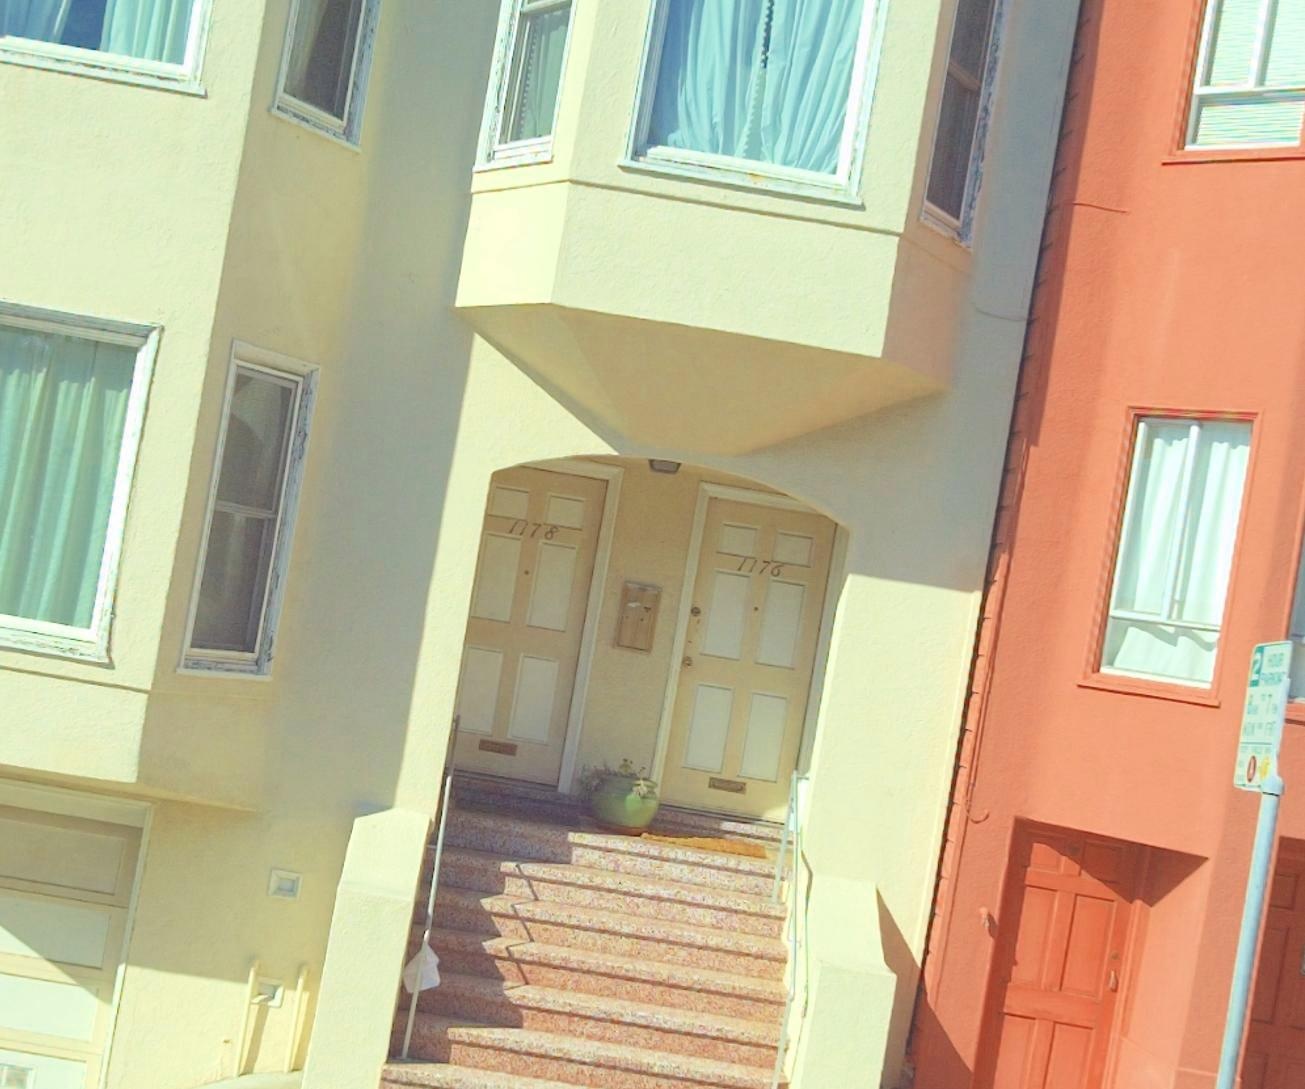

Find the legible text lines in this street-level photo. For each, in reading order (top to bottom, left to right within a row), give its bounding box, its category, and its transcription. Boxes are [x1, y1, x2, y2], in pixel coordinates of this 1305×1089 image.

[505, 518, 562, 542] StreetNumber: 1178
[733, 556, 787, 579] StreetNumber: 1176
[1248, 651, 1263, 682] None: 2
[1265, 651, 1285, 669] None: HOUR